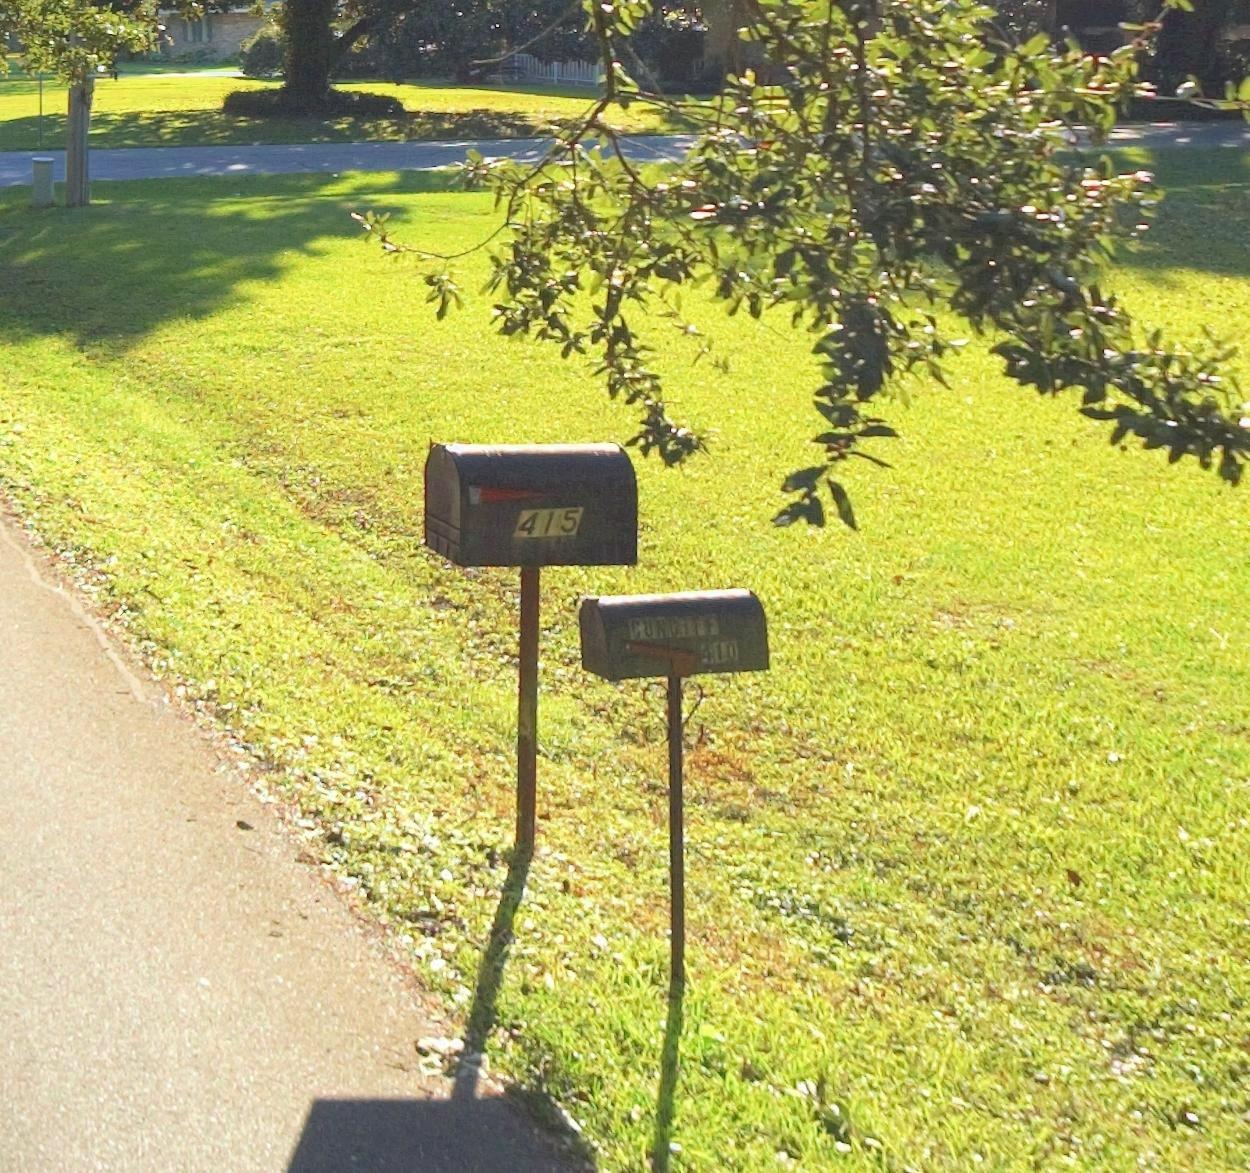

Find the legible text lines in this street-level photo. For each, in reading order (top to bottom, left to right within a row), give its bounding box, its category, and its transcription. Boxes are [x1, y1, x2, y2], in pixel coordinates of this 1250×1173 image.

[514, 507, 586, 538] StreetNumber: 415
[700, 640, 738, 665] StreetNumber: 410